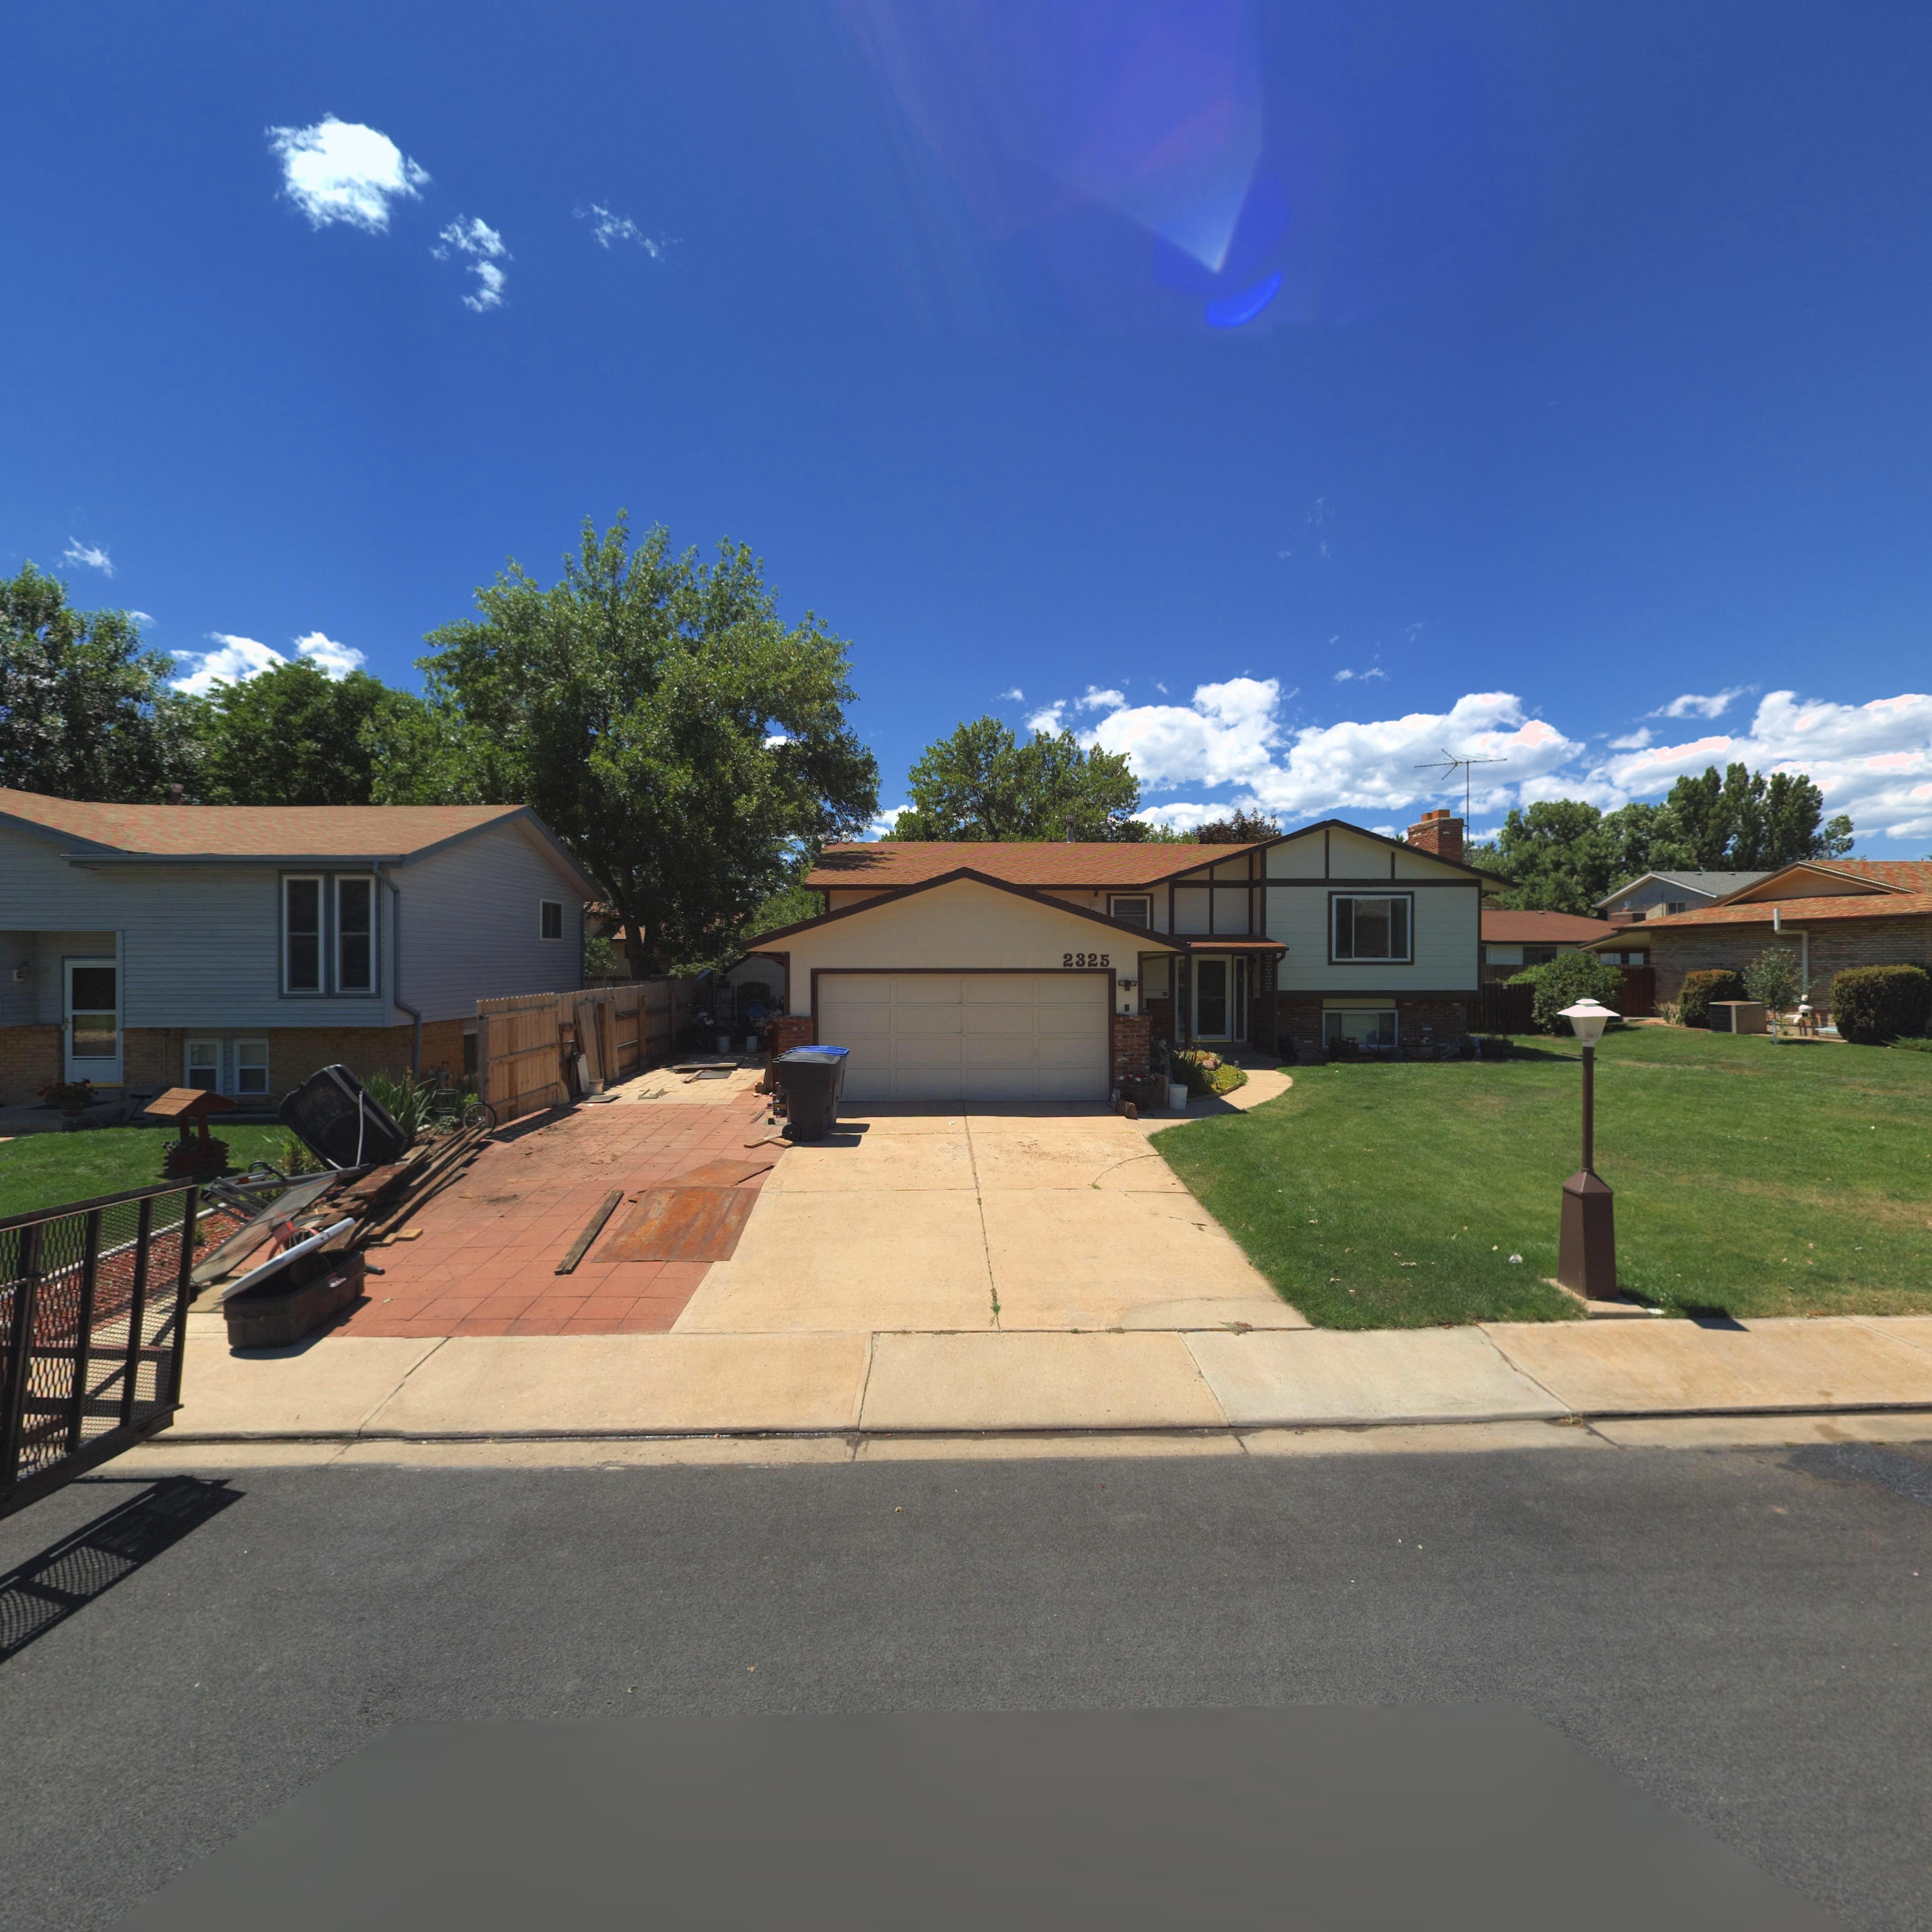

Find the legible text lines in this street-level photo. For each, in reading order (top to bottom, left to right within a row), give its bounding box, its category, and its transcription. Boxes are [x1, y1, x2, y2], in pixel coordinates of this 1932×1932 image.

[1063, 952, 1110, 967] StreetNumber: 2325